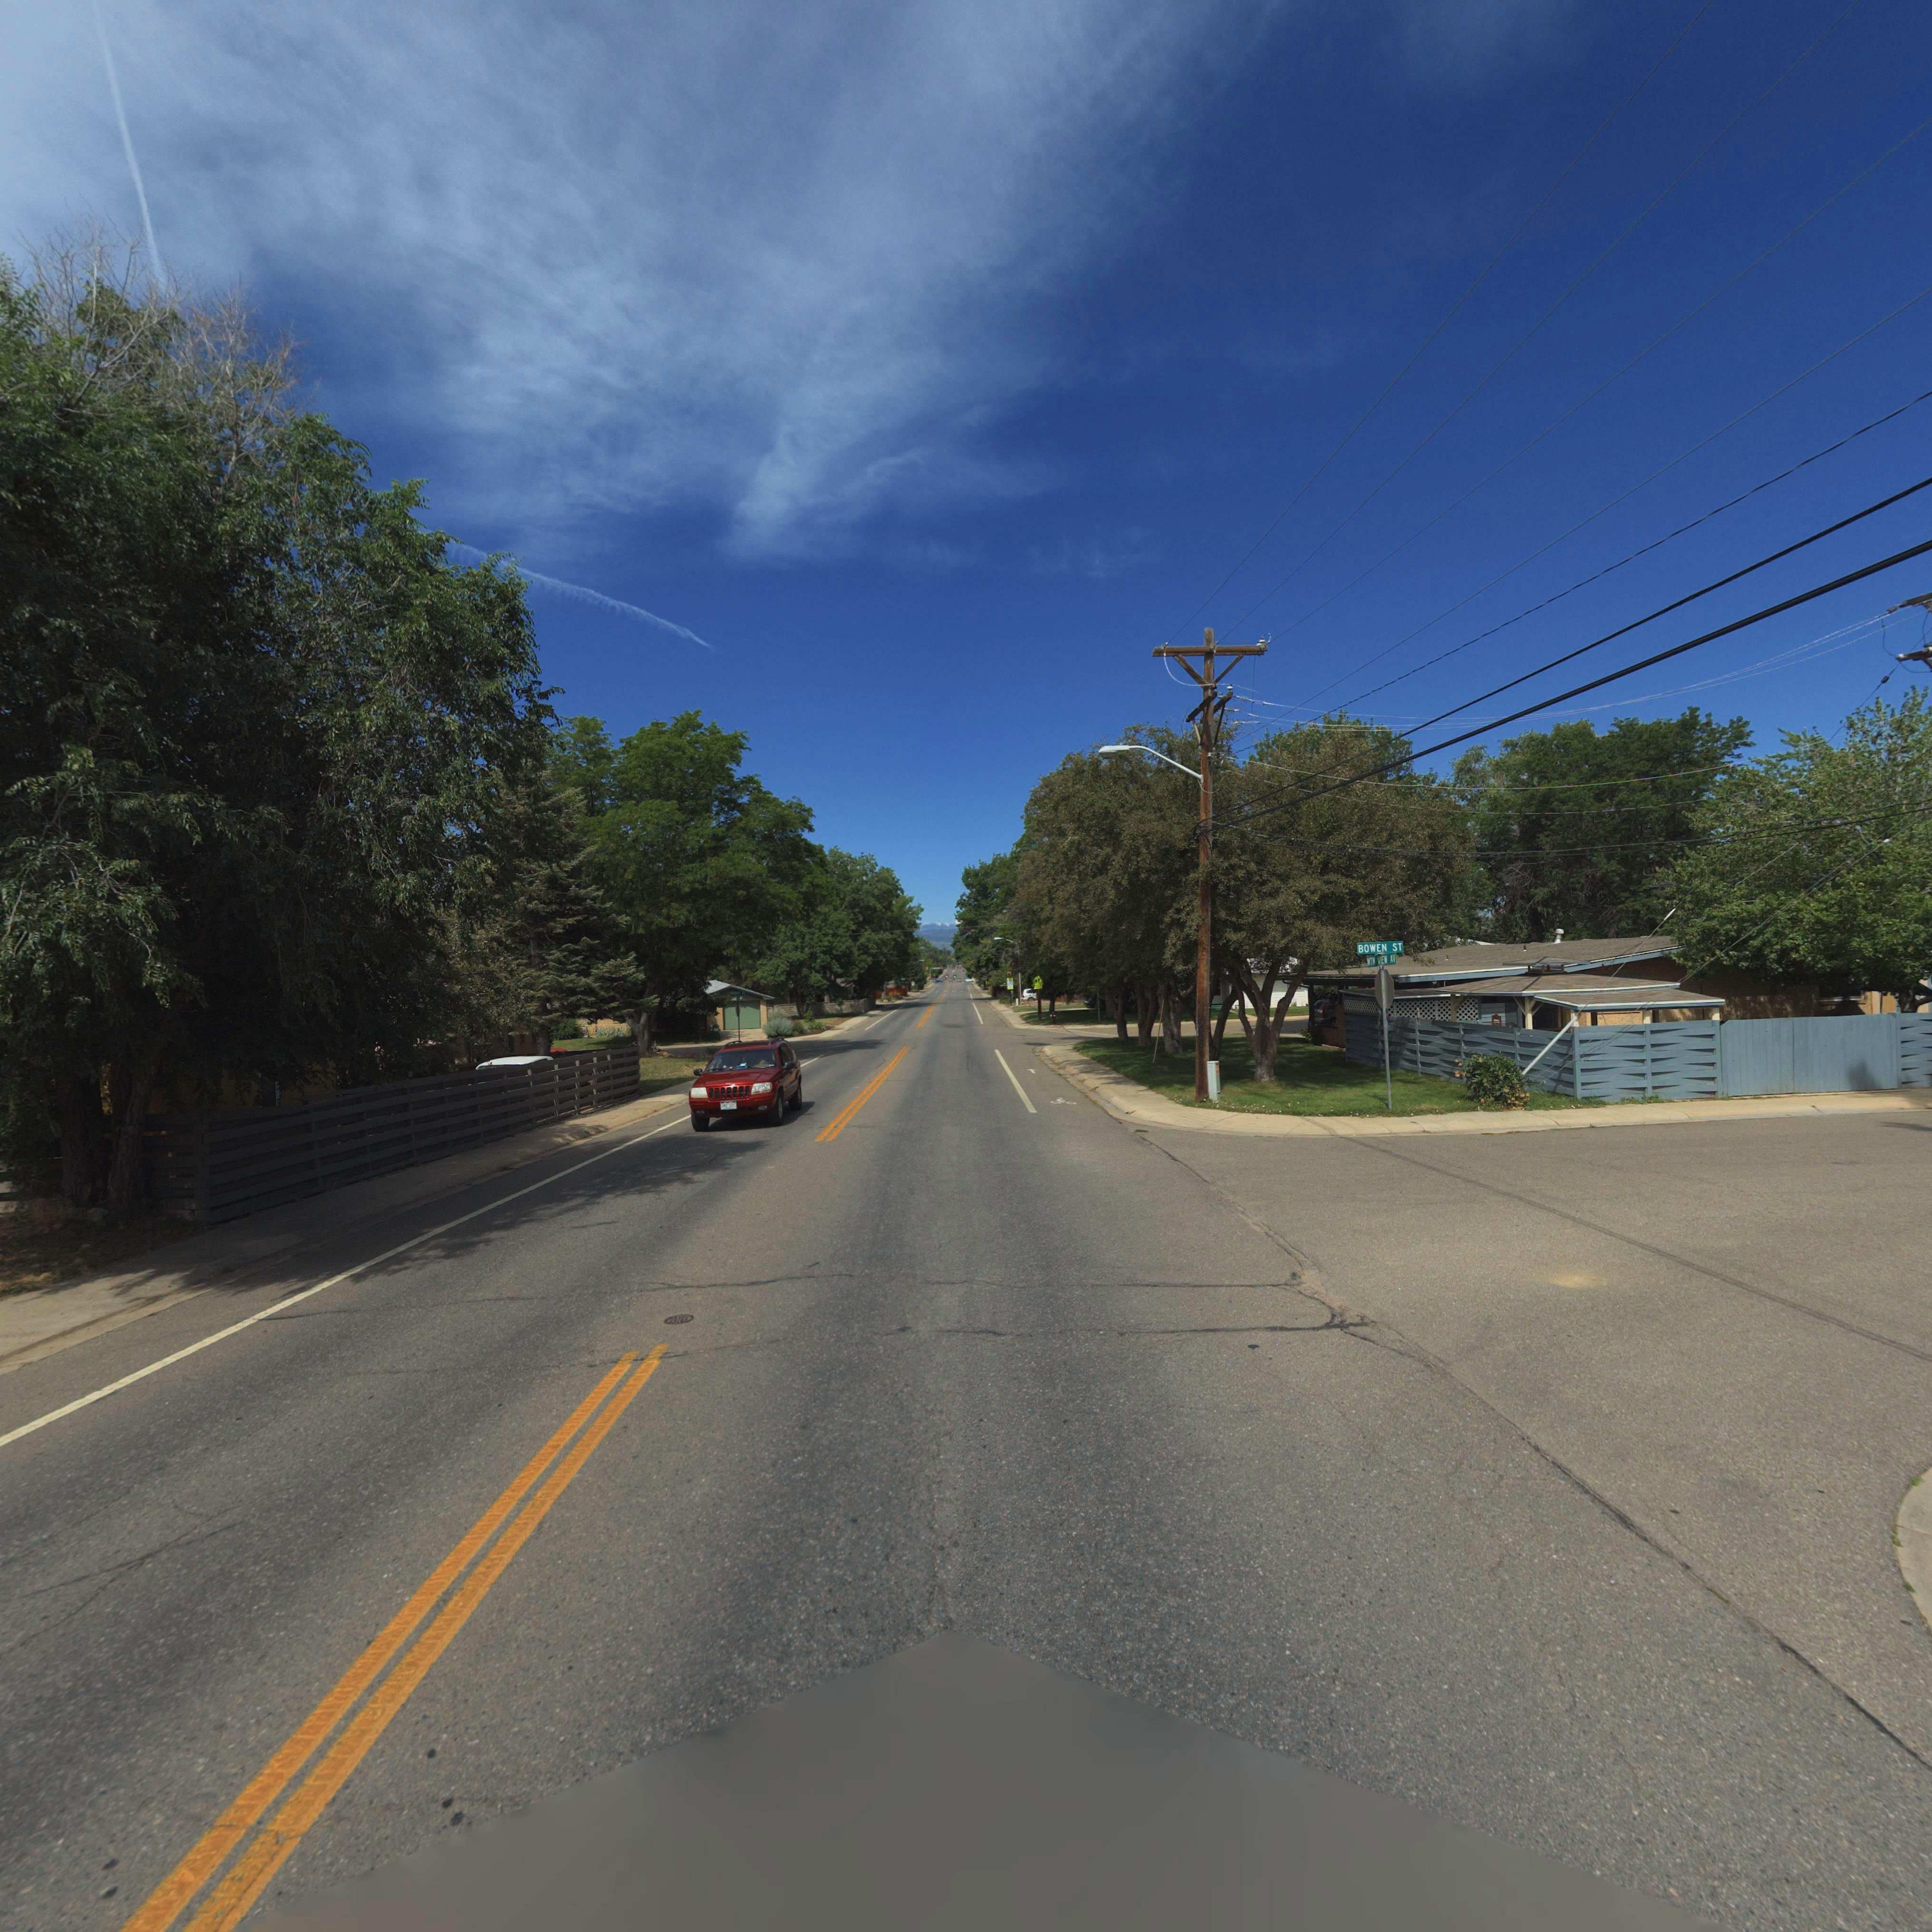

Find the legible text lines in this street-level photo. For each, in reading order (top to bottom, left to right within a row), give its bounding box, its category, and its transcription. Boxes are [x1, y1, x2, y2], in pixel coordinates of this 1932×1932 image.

[1358, 942, 1402, 953] StreetName: BOWEN ST
[1367, 953, 1396, 966] StreetName: MTN VIEW AV